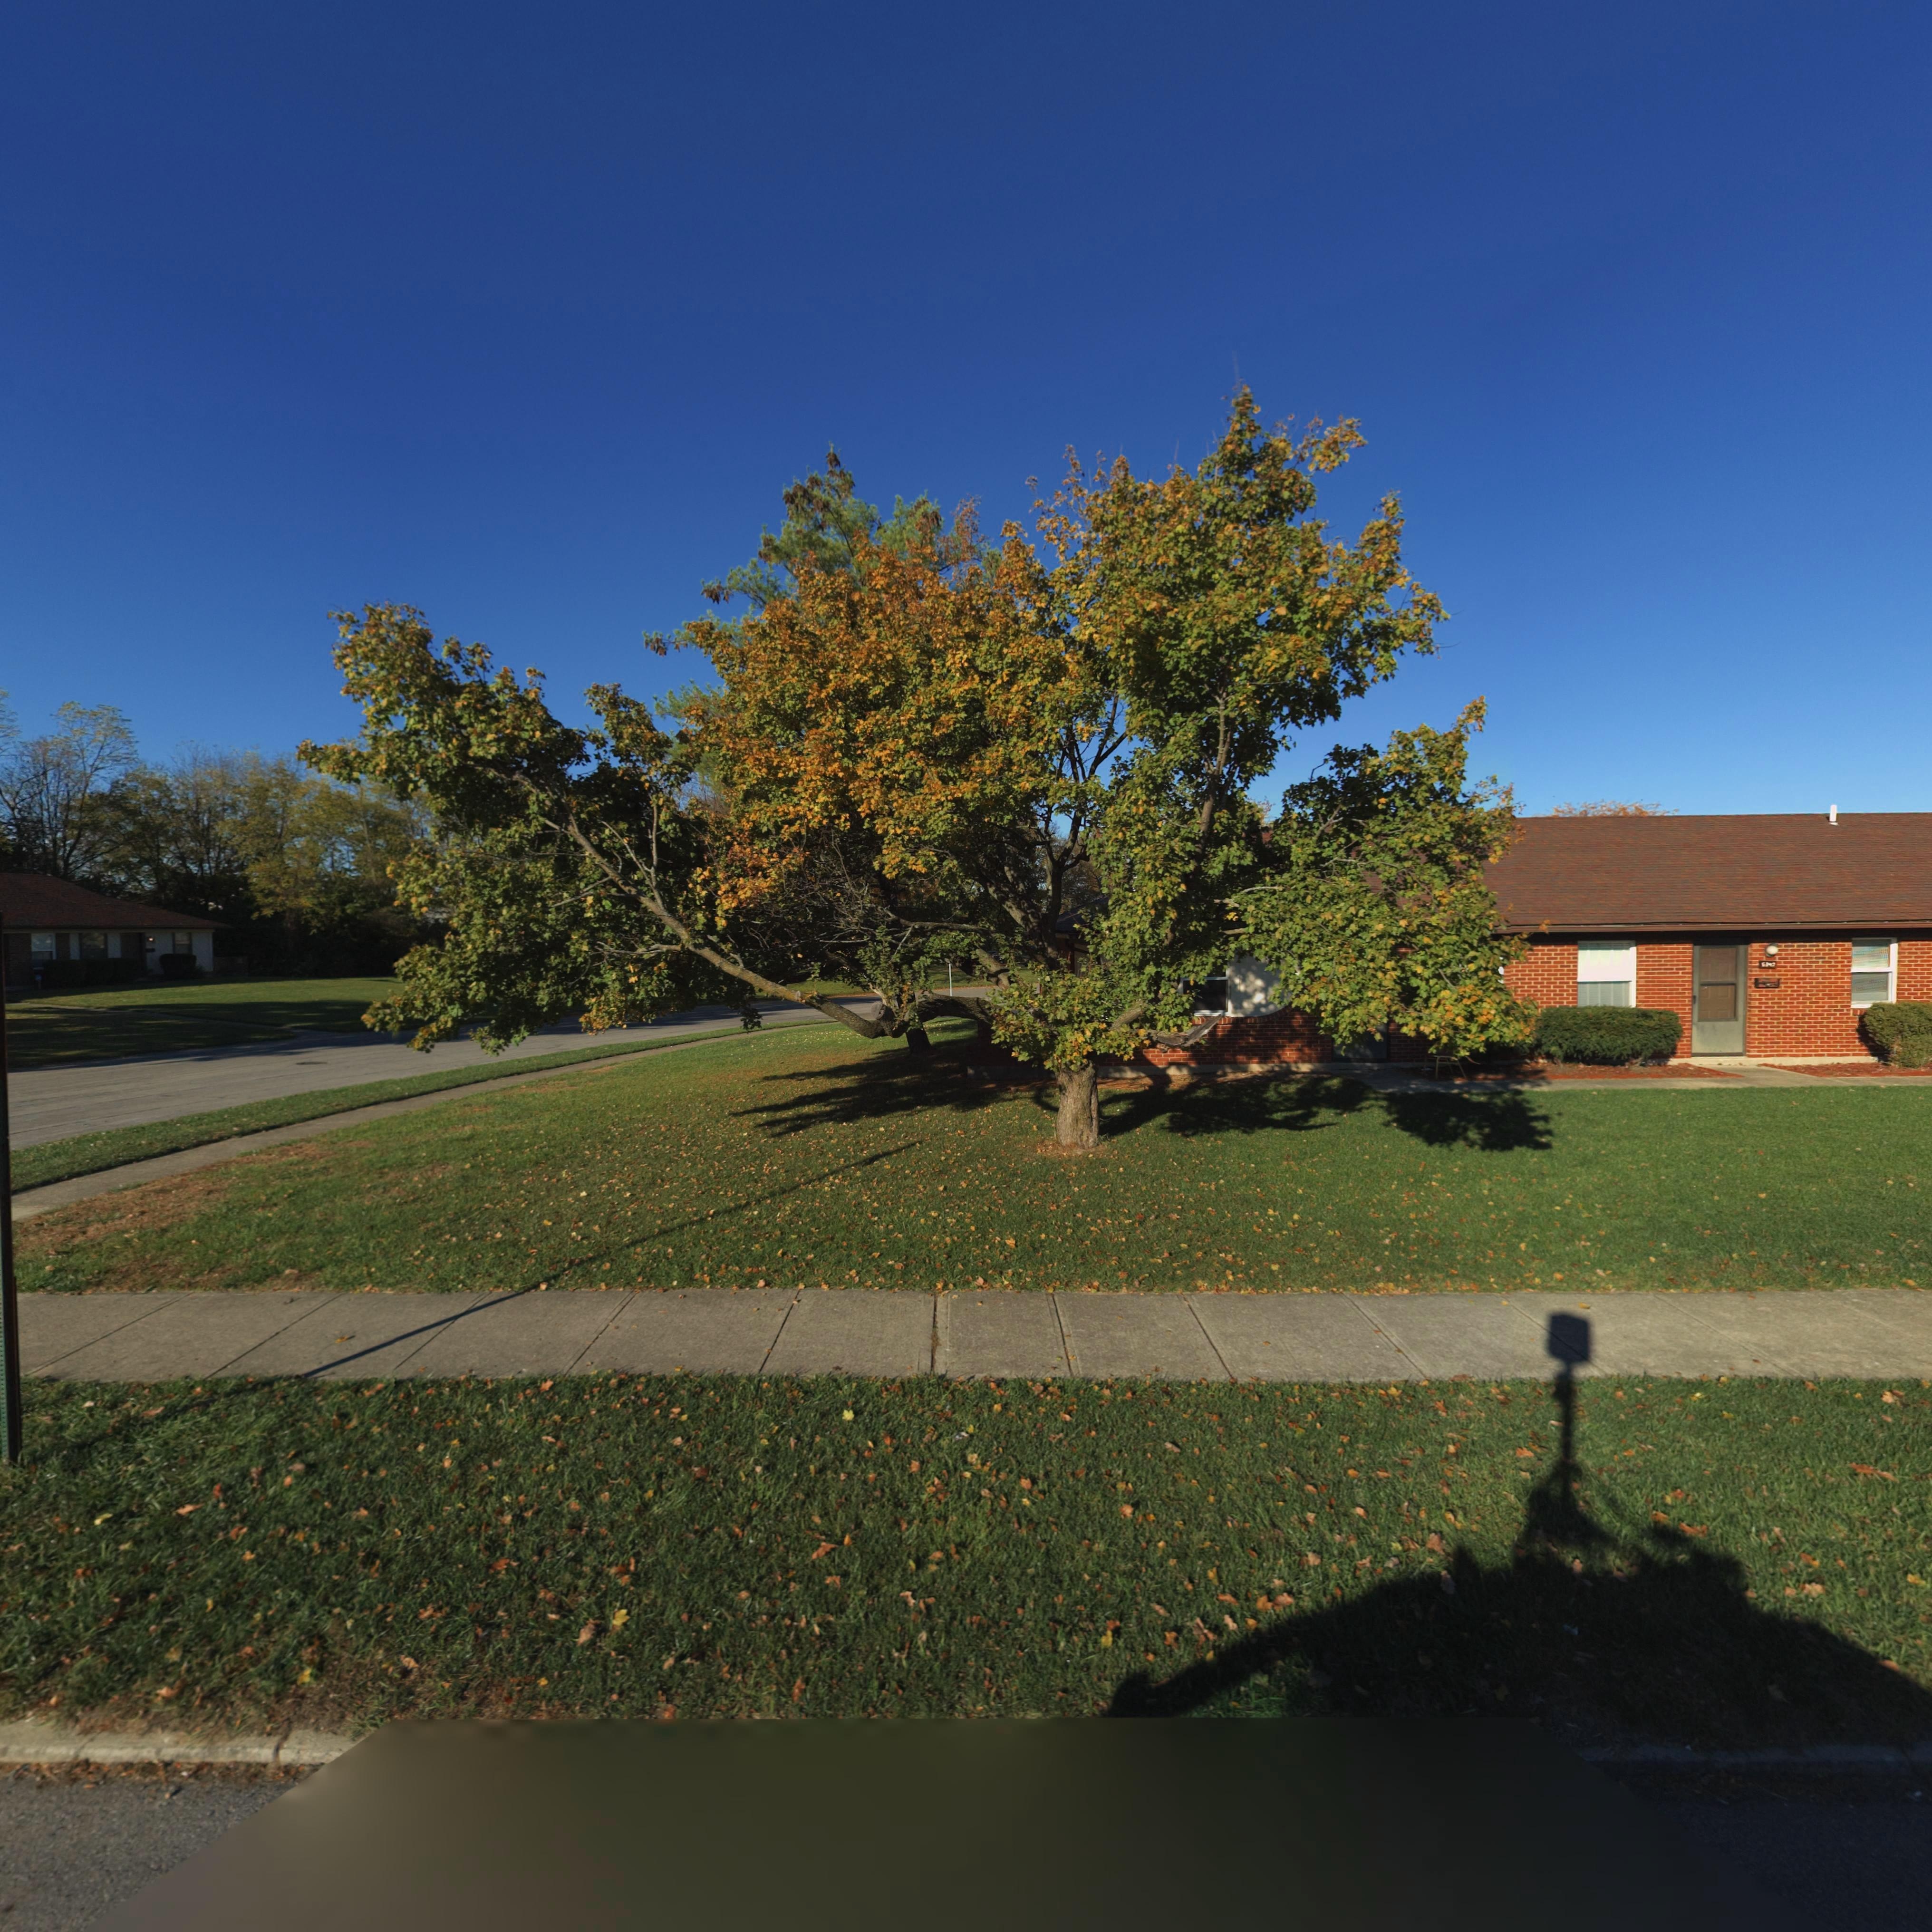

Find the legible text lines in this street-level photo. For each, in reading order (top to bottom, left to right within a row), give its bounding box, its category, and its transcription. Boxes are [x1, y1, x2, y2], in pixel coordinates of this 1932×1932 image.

[1760, 961, 1776, 967] StreetNumber: 5347